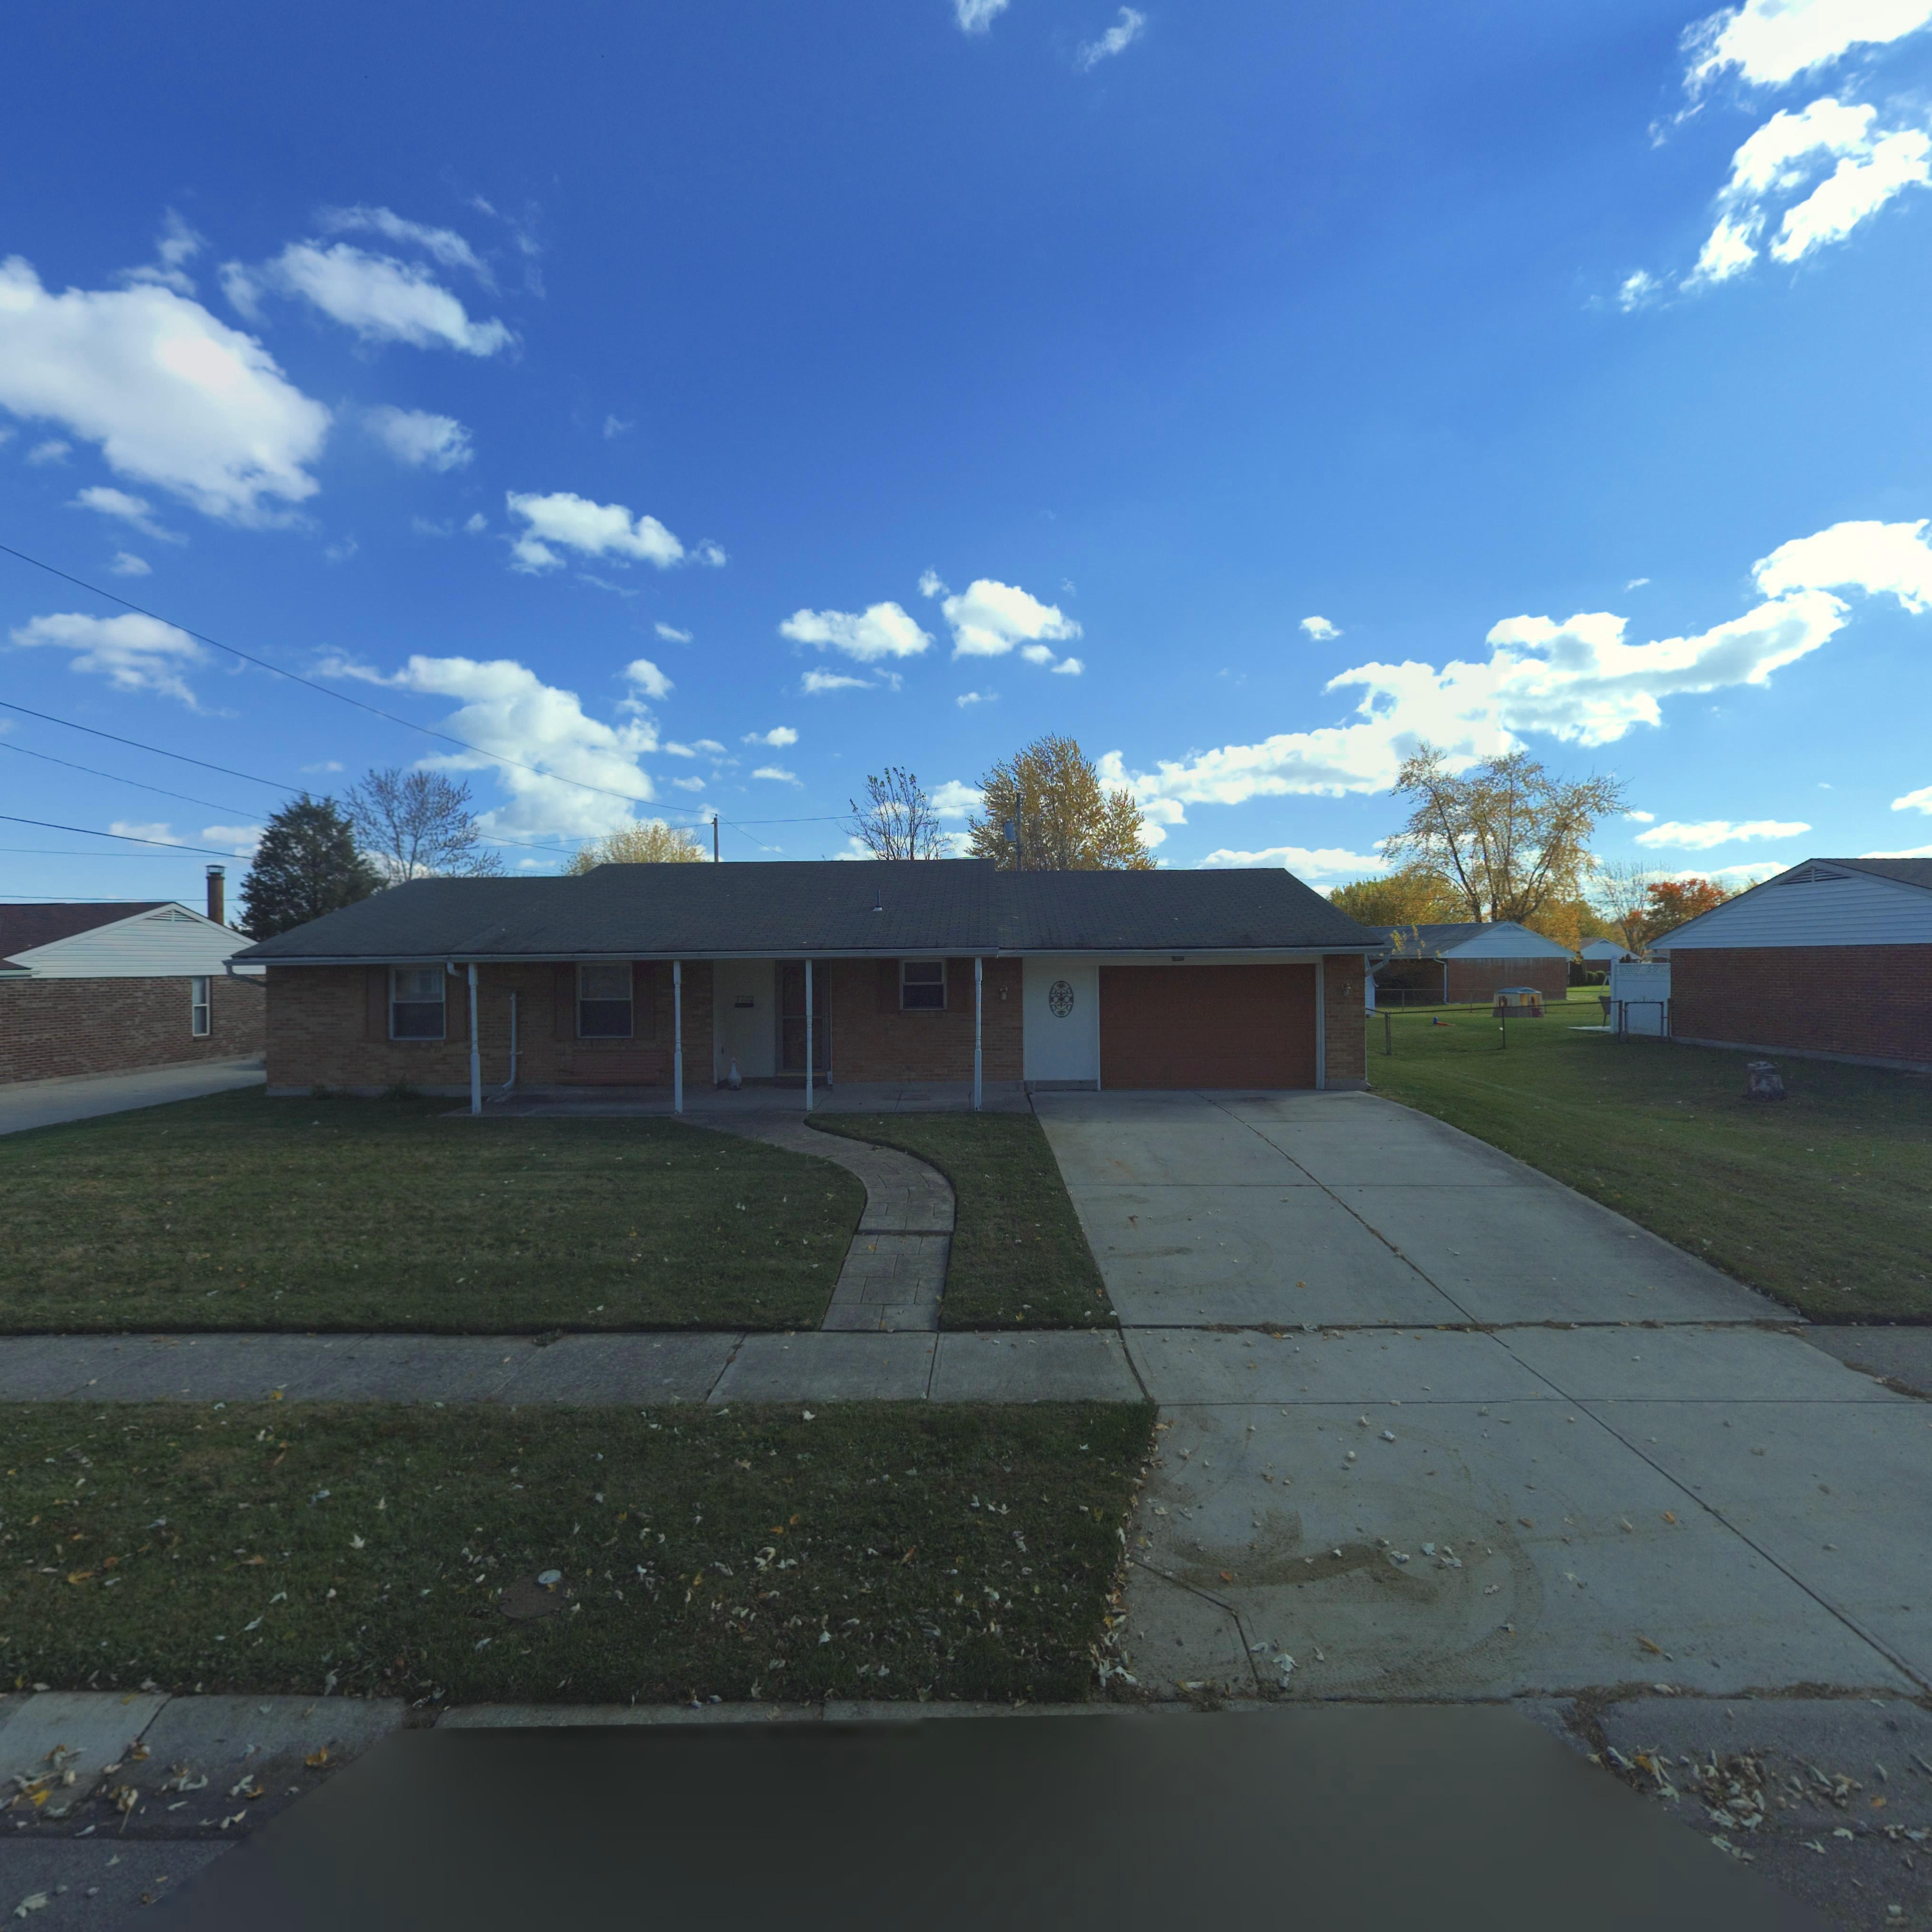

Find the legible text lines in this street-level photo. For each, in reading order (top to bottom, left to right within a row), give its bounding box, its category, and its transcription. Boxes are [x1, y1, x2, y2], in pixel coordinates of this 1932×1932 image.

[735, 995, 755, 1004] StreetNumber: 7722